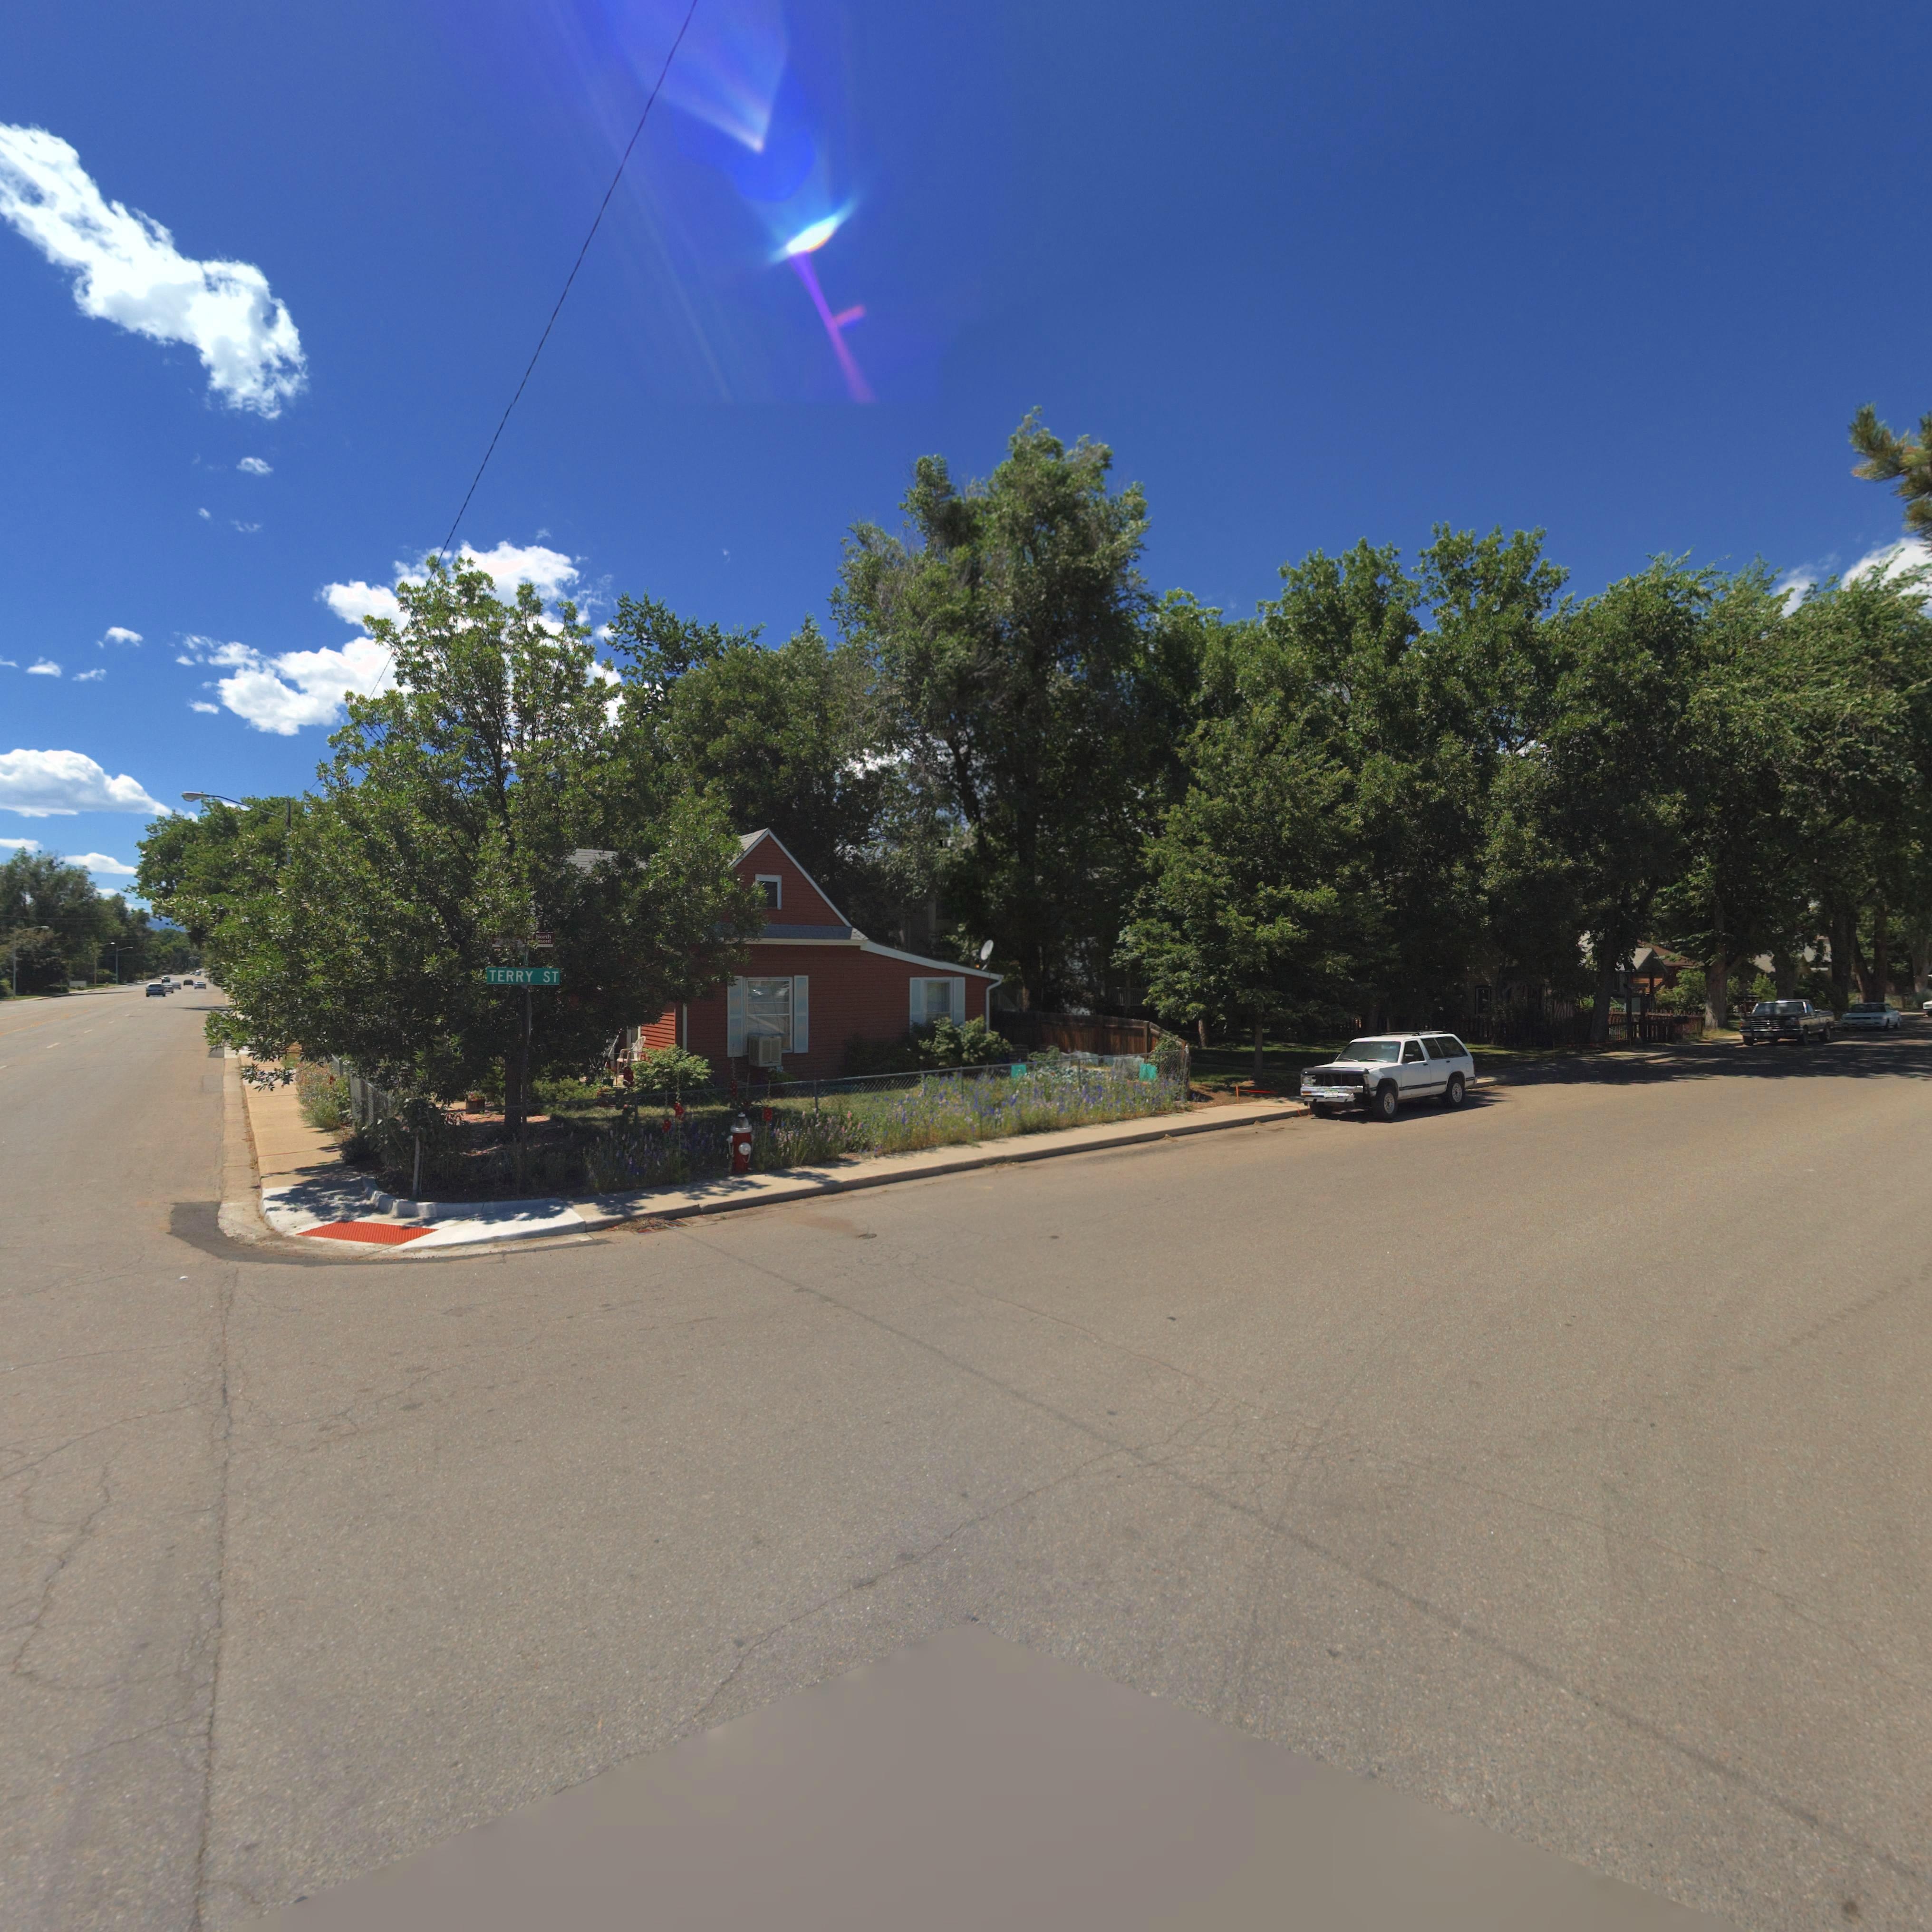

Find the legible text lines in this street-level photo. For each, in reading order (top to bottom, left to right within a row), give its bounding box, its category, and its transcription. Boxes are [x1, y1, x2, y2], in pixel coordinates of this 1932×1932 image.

[488, 969, 559, 983] StreetName: TERRY ST